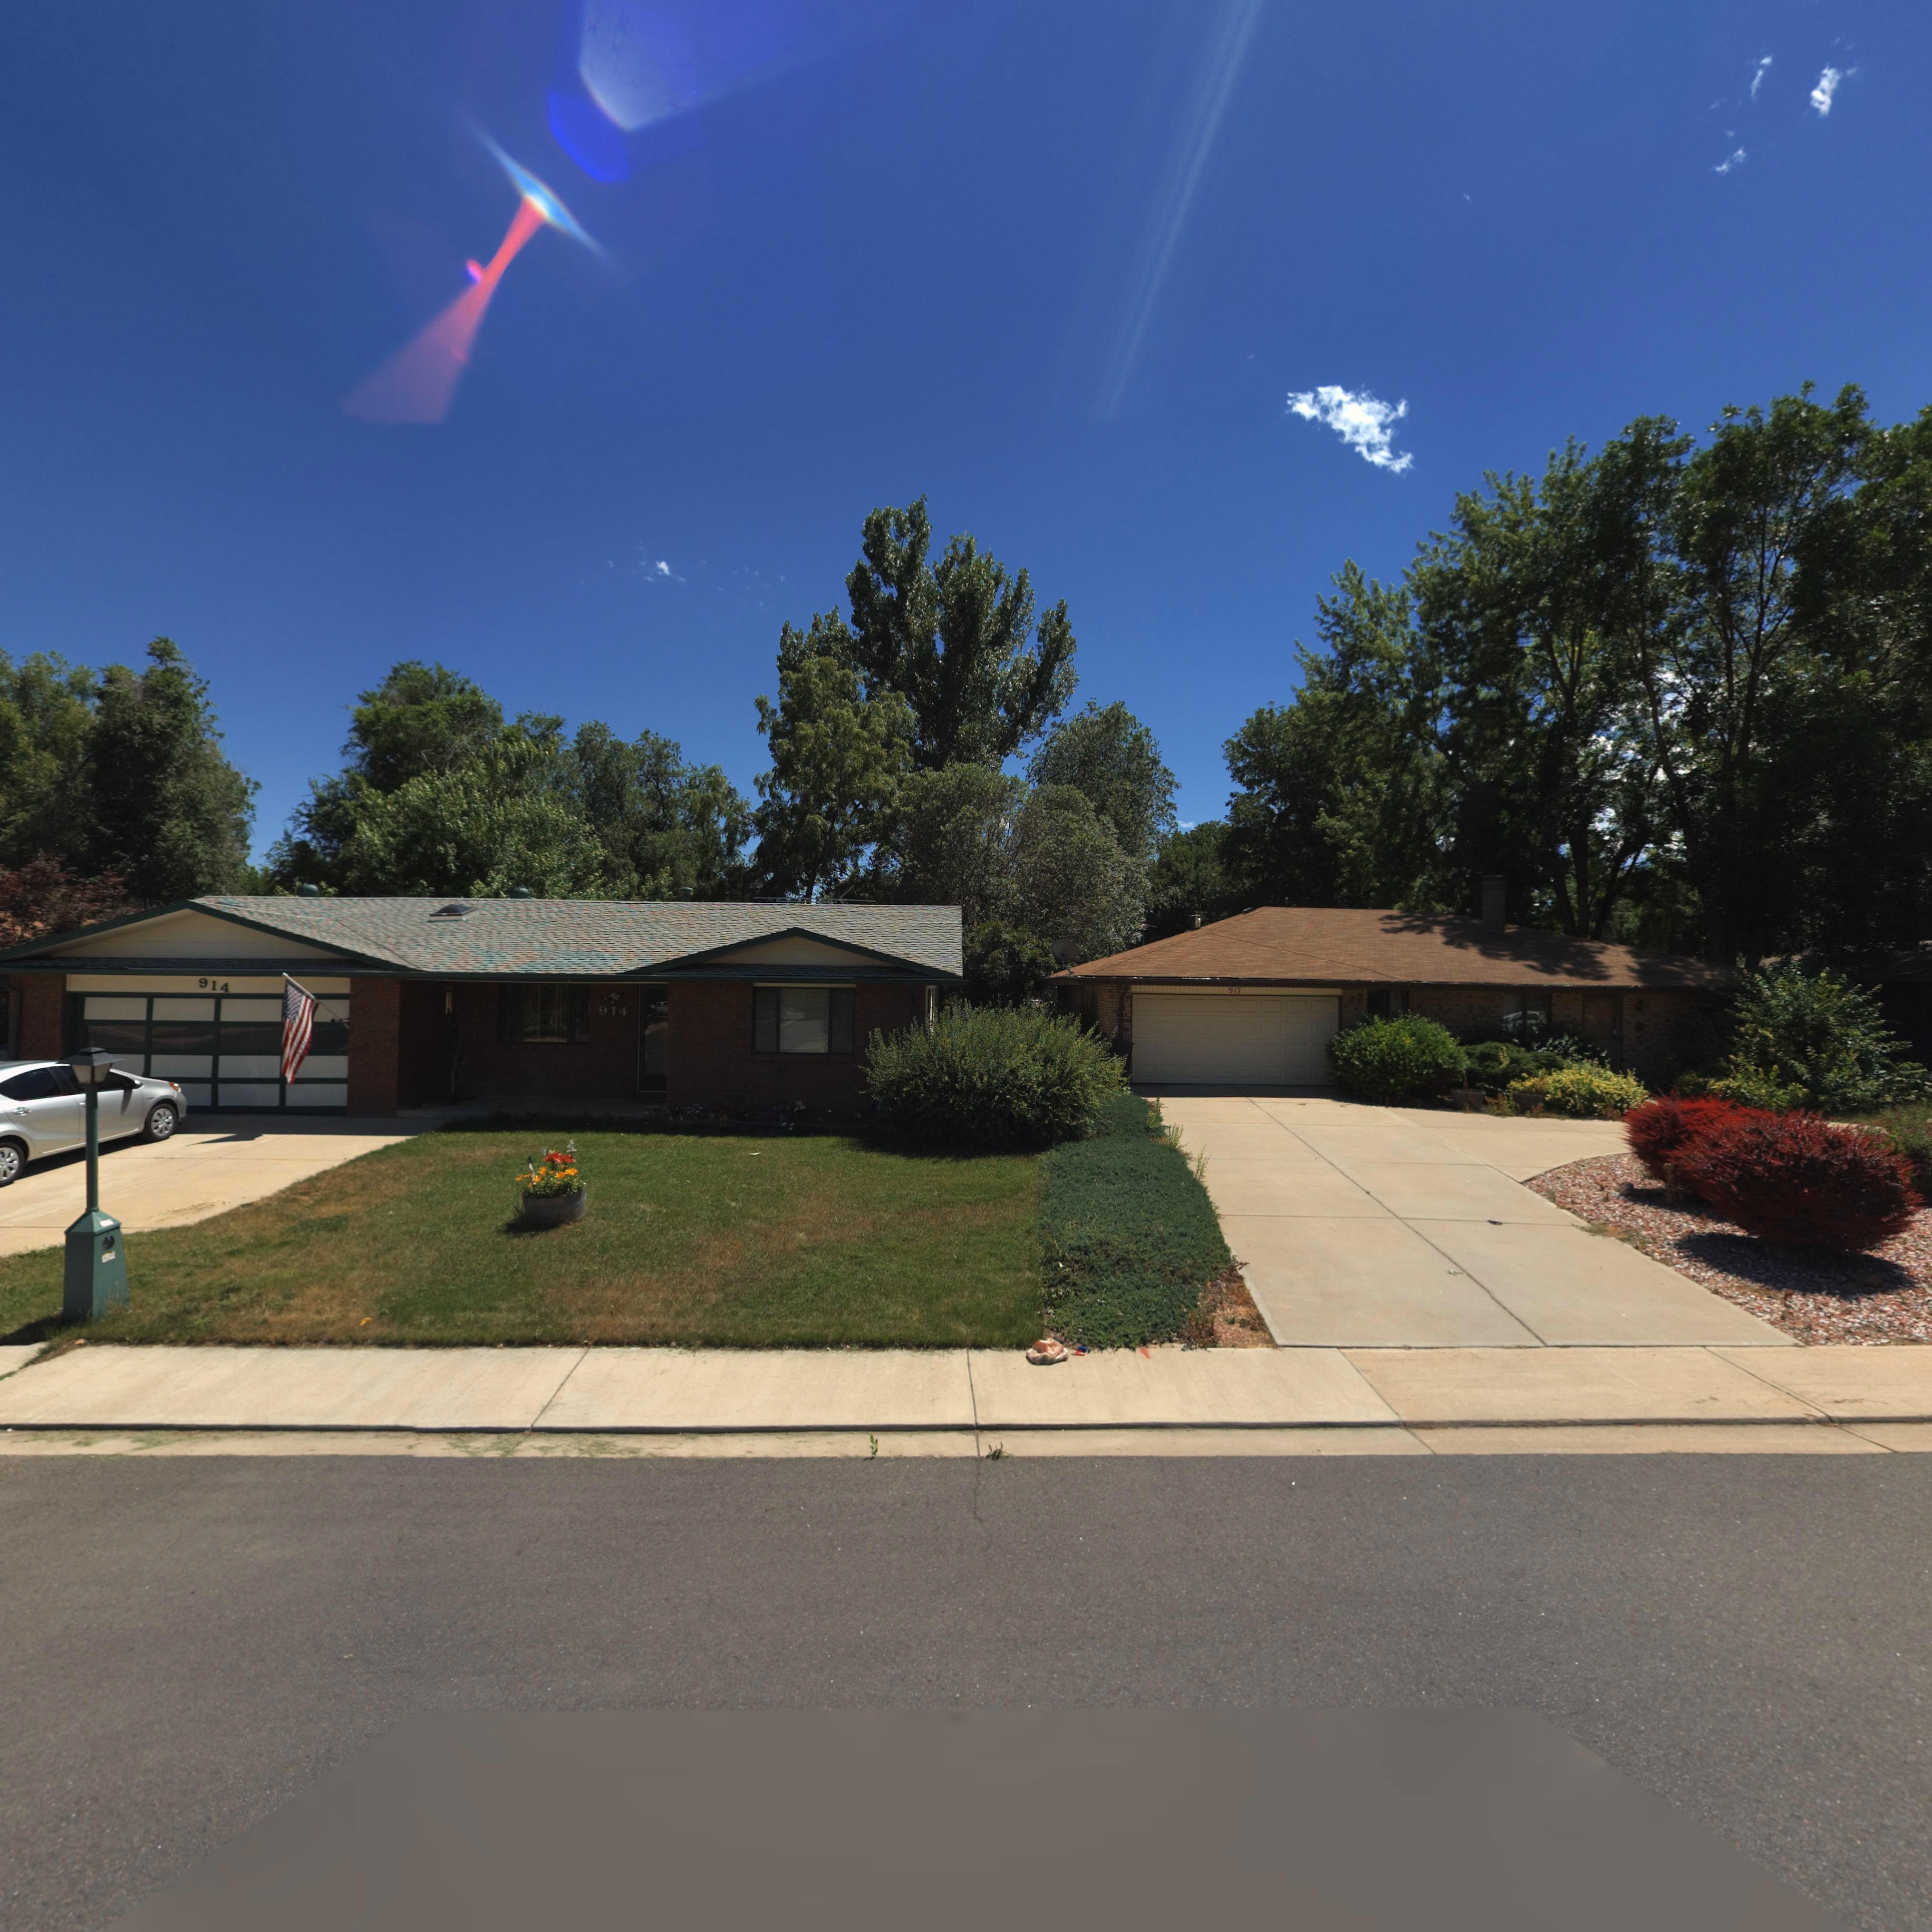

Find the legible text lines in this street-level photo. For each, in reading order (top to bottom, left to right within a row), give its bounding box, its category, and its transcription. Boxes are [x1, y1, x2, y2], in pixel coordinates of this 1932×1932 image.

[198, 977, 230, 993] StreetNumber: 914
[1228, 987, 1240, 994] StreetNumber: 917
[599, 1006, 628, 1015] StreetNumber: 914